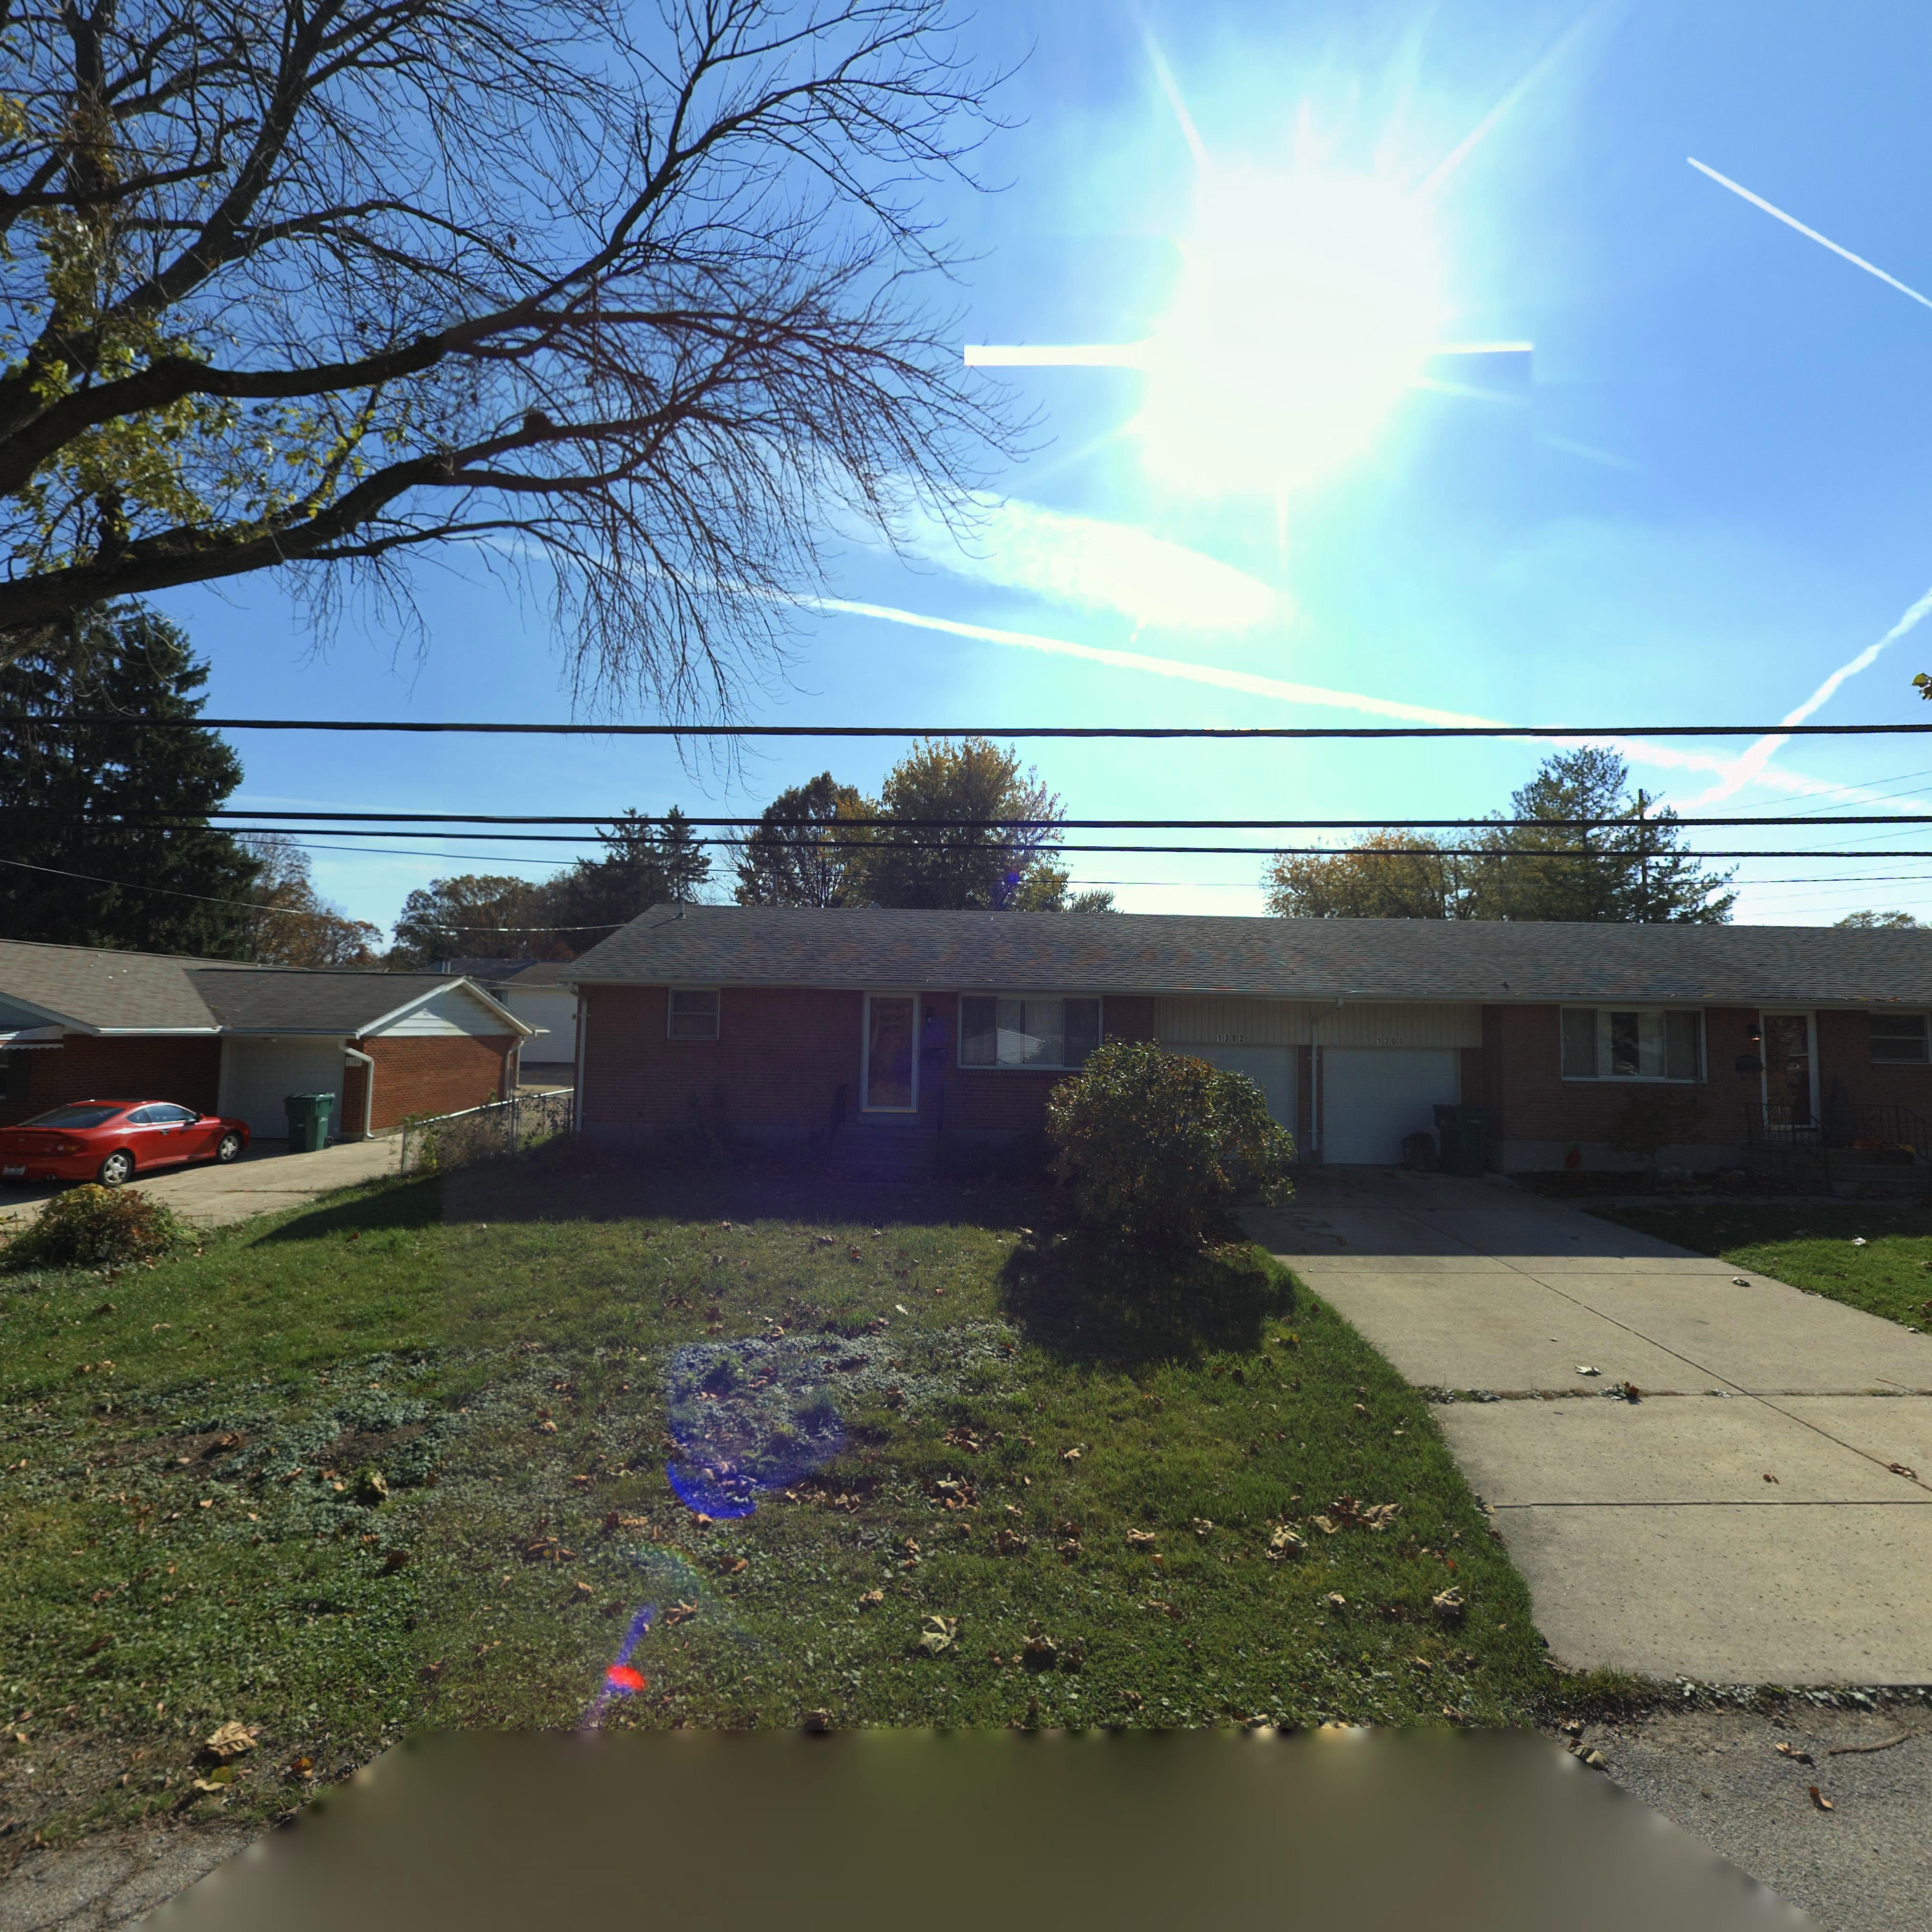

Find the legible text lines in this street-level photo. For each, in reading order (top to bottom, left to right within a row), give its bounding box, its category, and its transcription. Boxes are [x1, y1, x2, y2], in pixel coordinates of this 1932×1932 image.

[1217, 1034, 1244, 1043] StreetNumber: 1302
[1376, 1037, 1404, 1045] StreetNumber: 1300
[347, 1059, 360, 1064] StreetNumber: 1304
[3, 1167, 23, 1173] None: EDL 6652